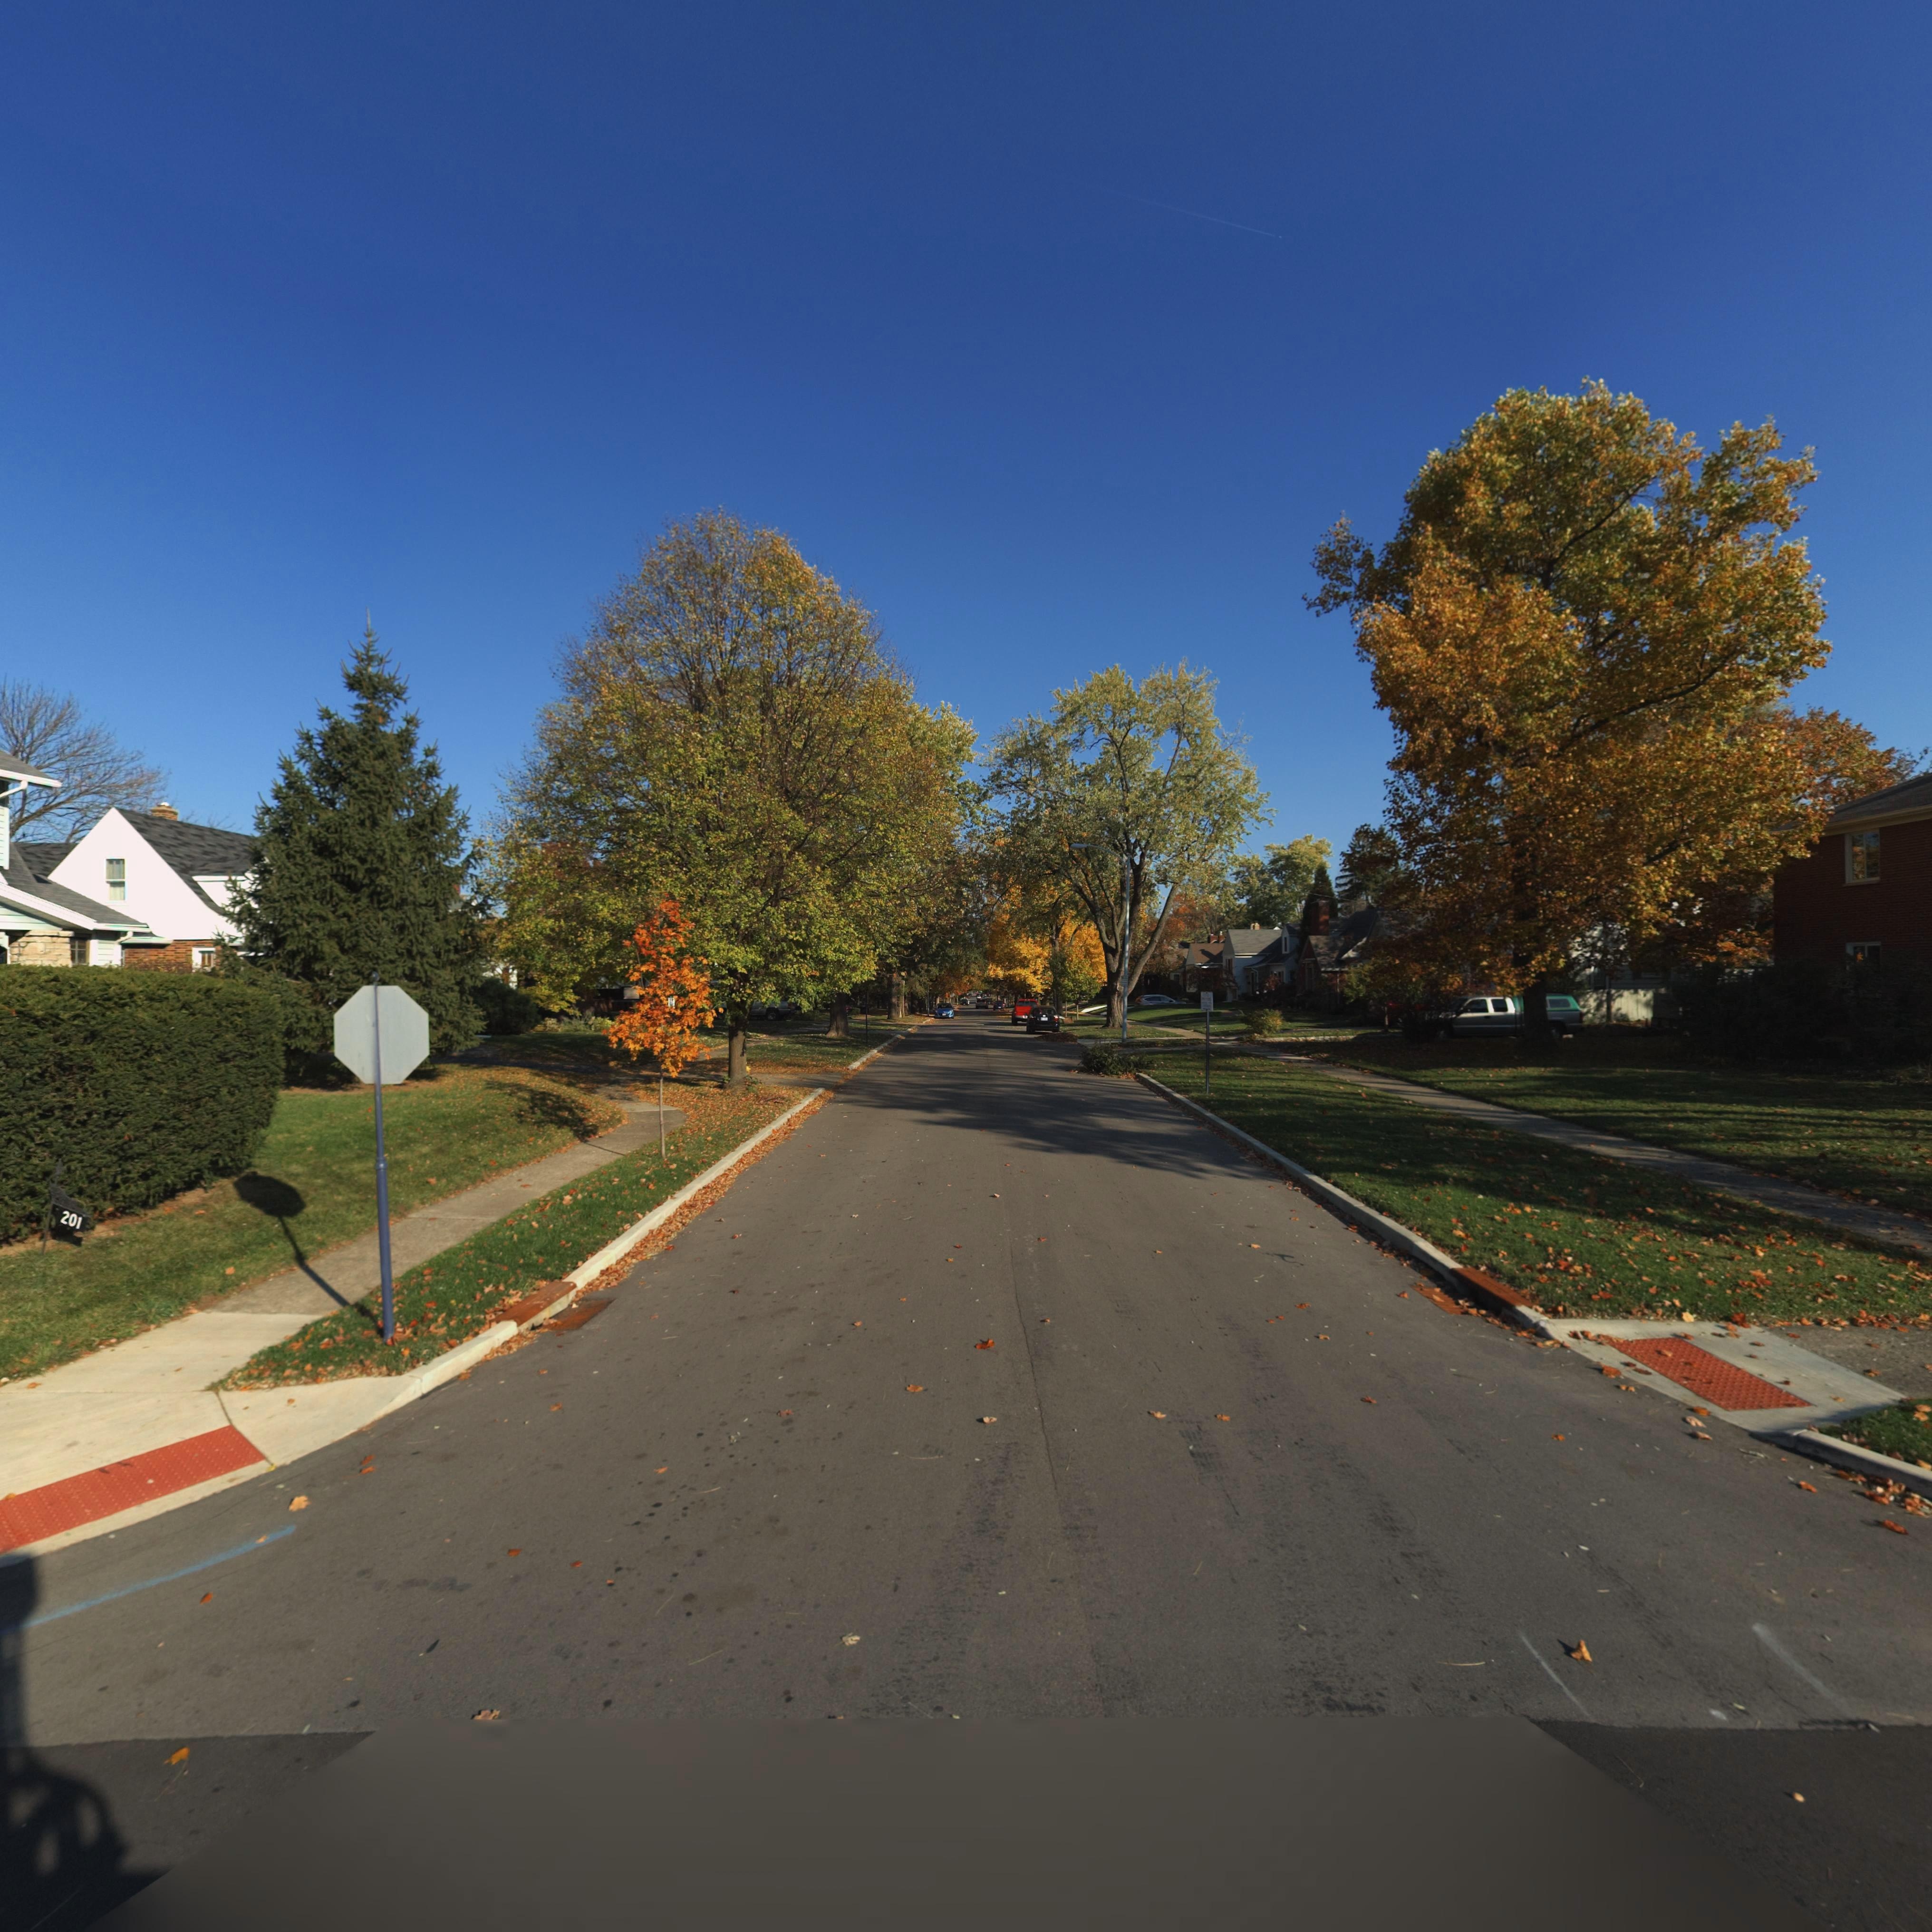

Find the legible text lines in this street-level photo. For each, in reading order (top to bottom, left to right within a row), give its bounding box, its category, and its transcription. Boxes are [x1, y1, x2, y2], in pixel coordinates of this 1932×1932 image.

[58, 1209, 84, 1230] StreetNumber: 201